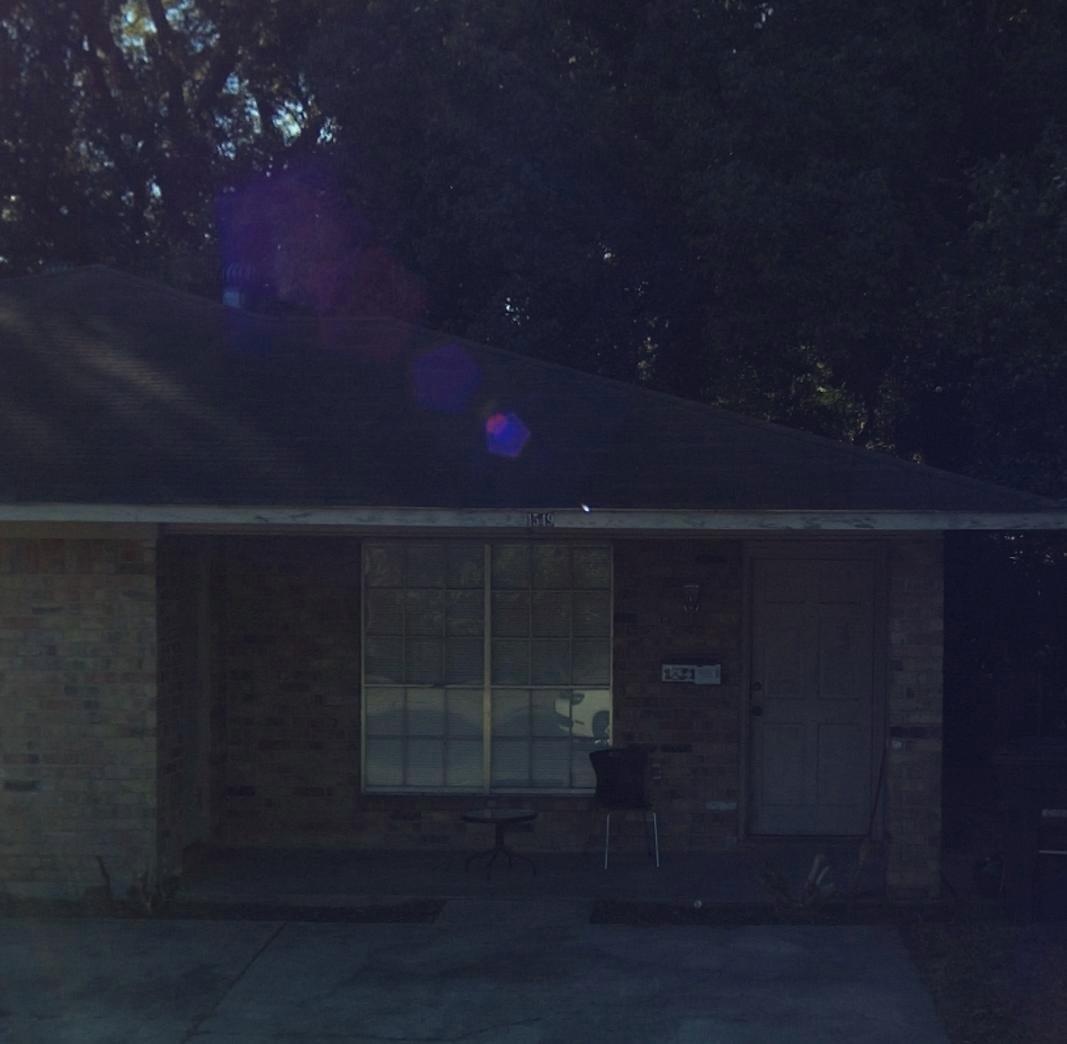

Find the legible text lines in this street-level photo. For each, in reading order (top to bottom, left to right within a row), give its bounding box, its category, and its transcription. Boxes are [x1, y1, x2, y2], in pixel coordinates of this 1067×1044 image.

[527, 512, 555, 528] StreetNumber: 1549